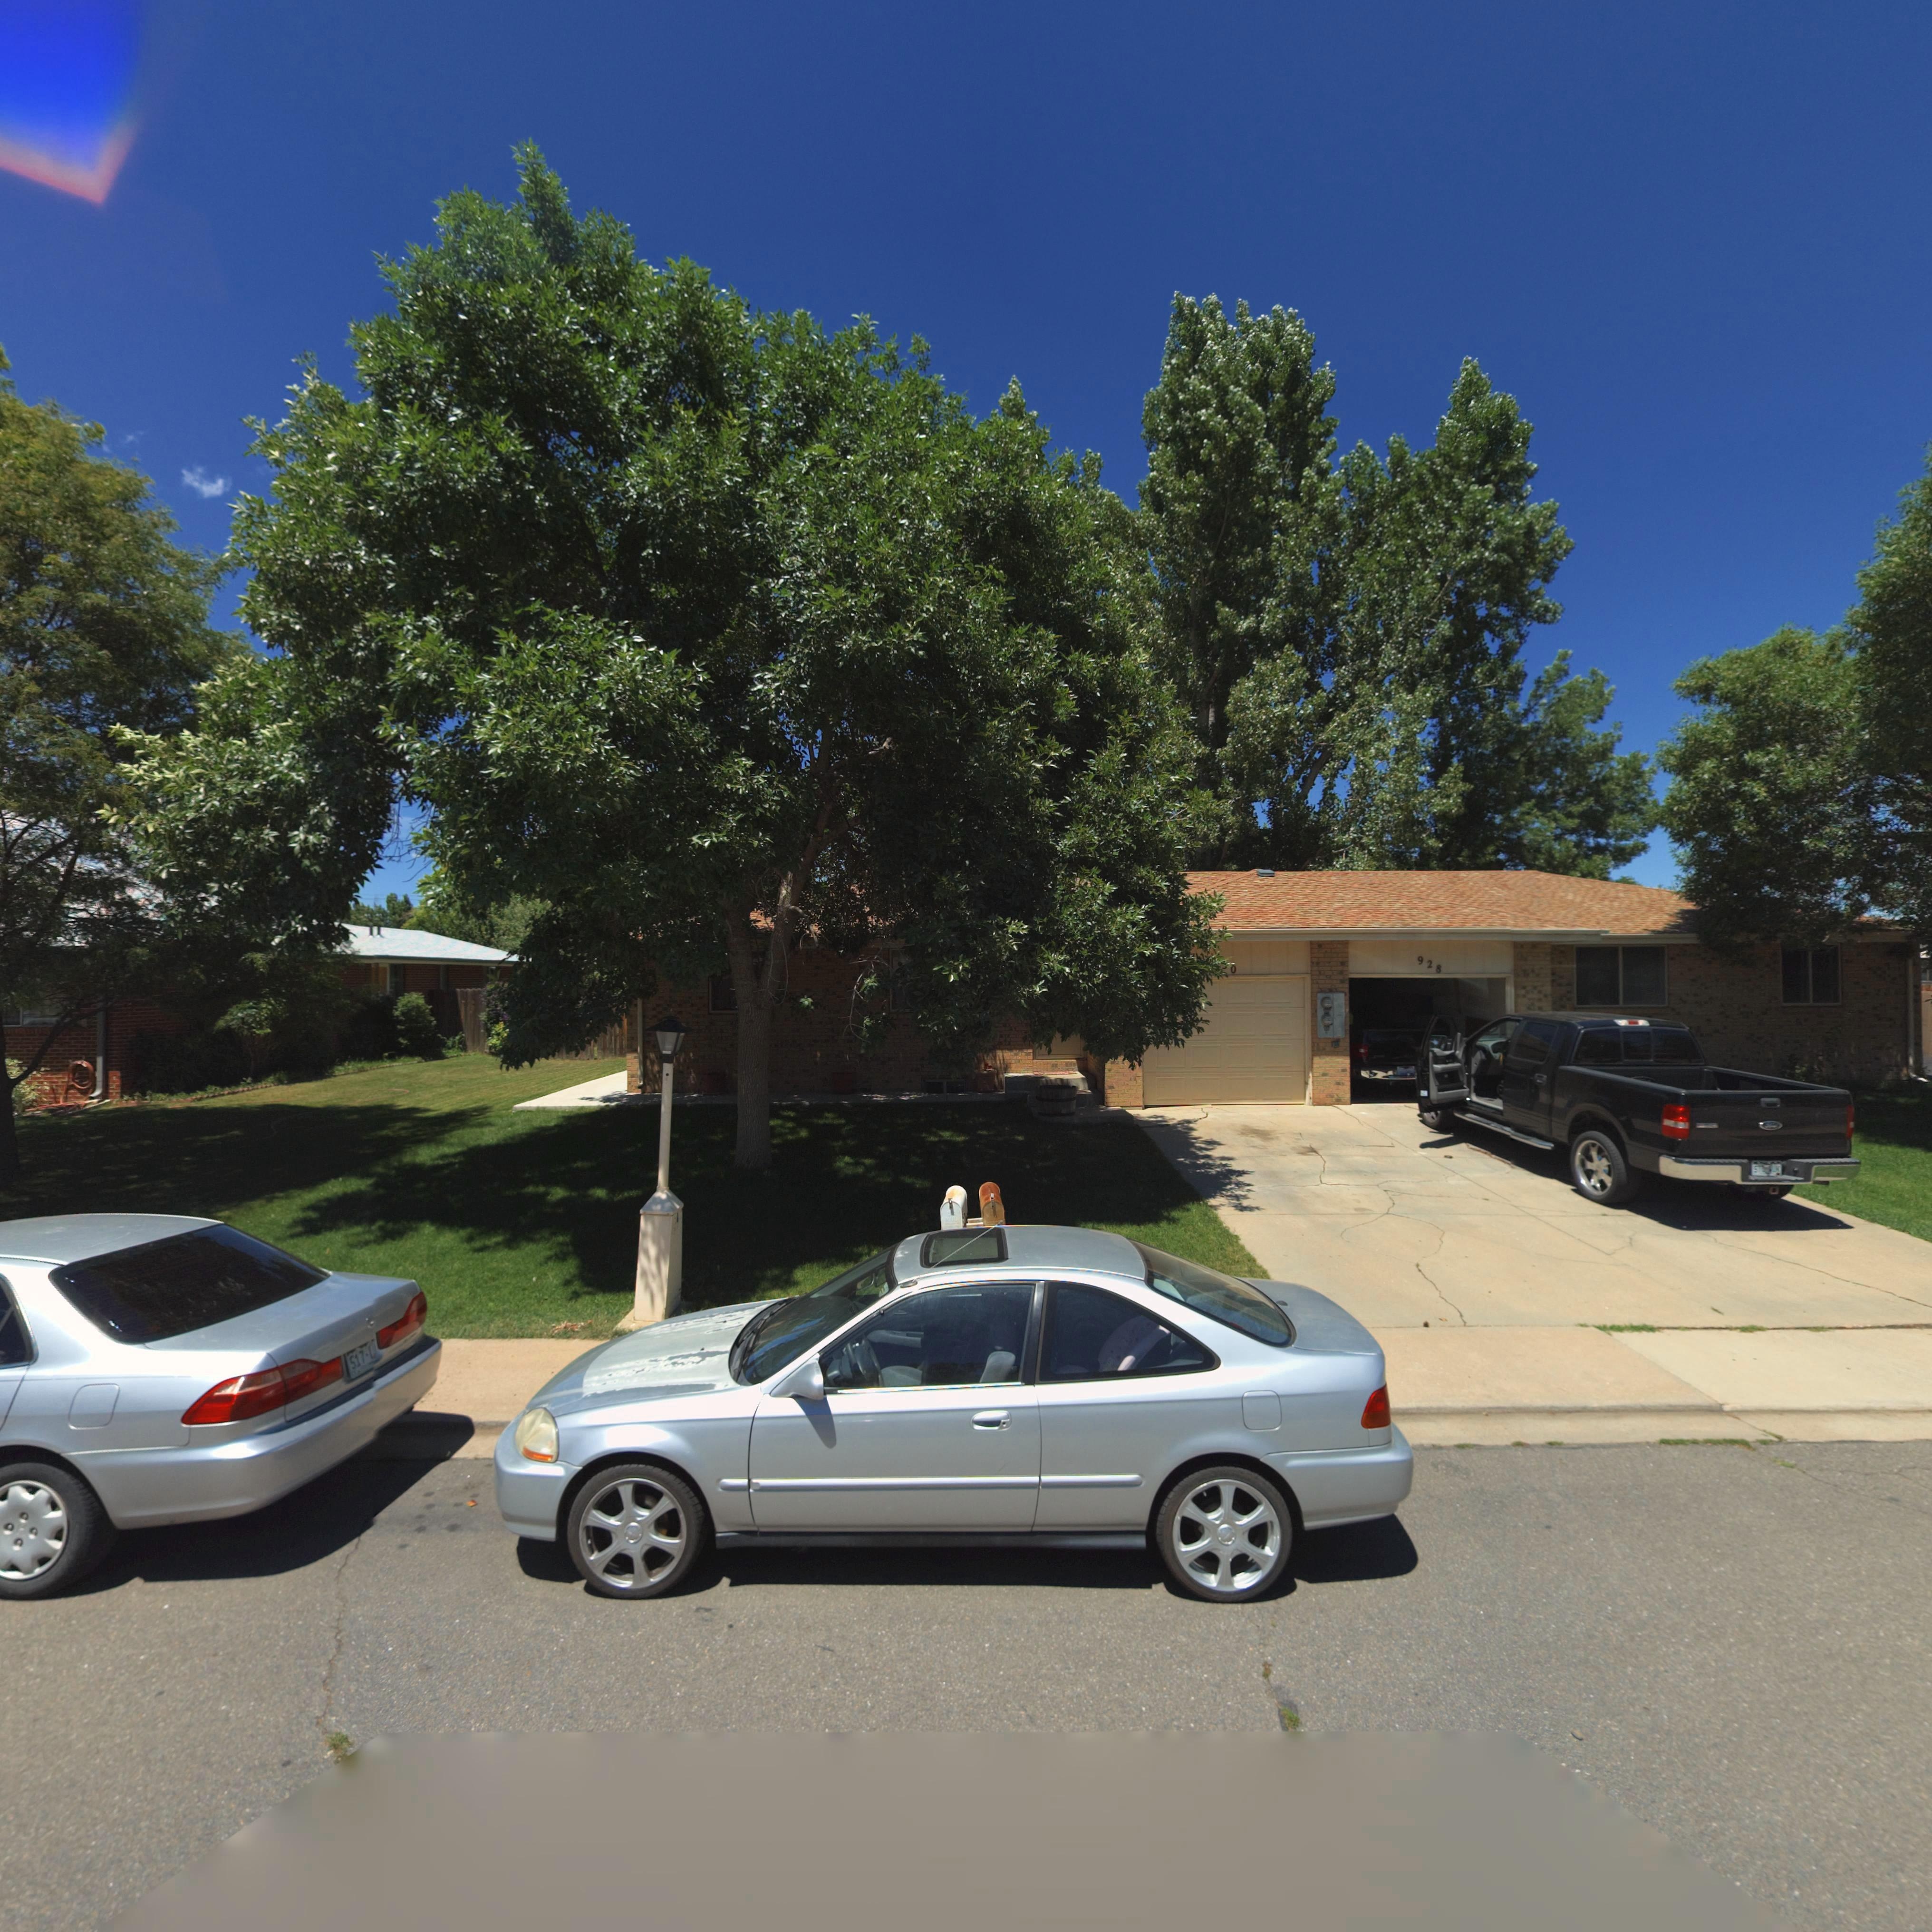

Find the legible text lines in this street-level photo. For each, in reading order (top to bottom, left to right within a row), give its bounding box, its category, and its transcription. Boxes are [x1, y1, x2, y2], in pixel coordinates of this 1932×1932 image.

[1417, 955, 1442, 974] StreetNumber: 928